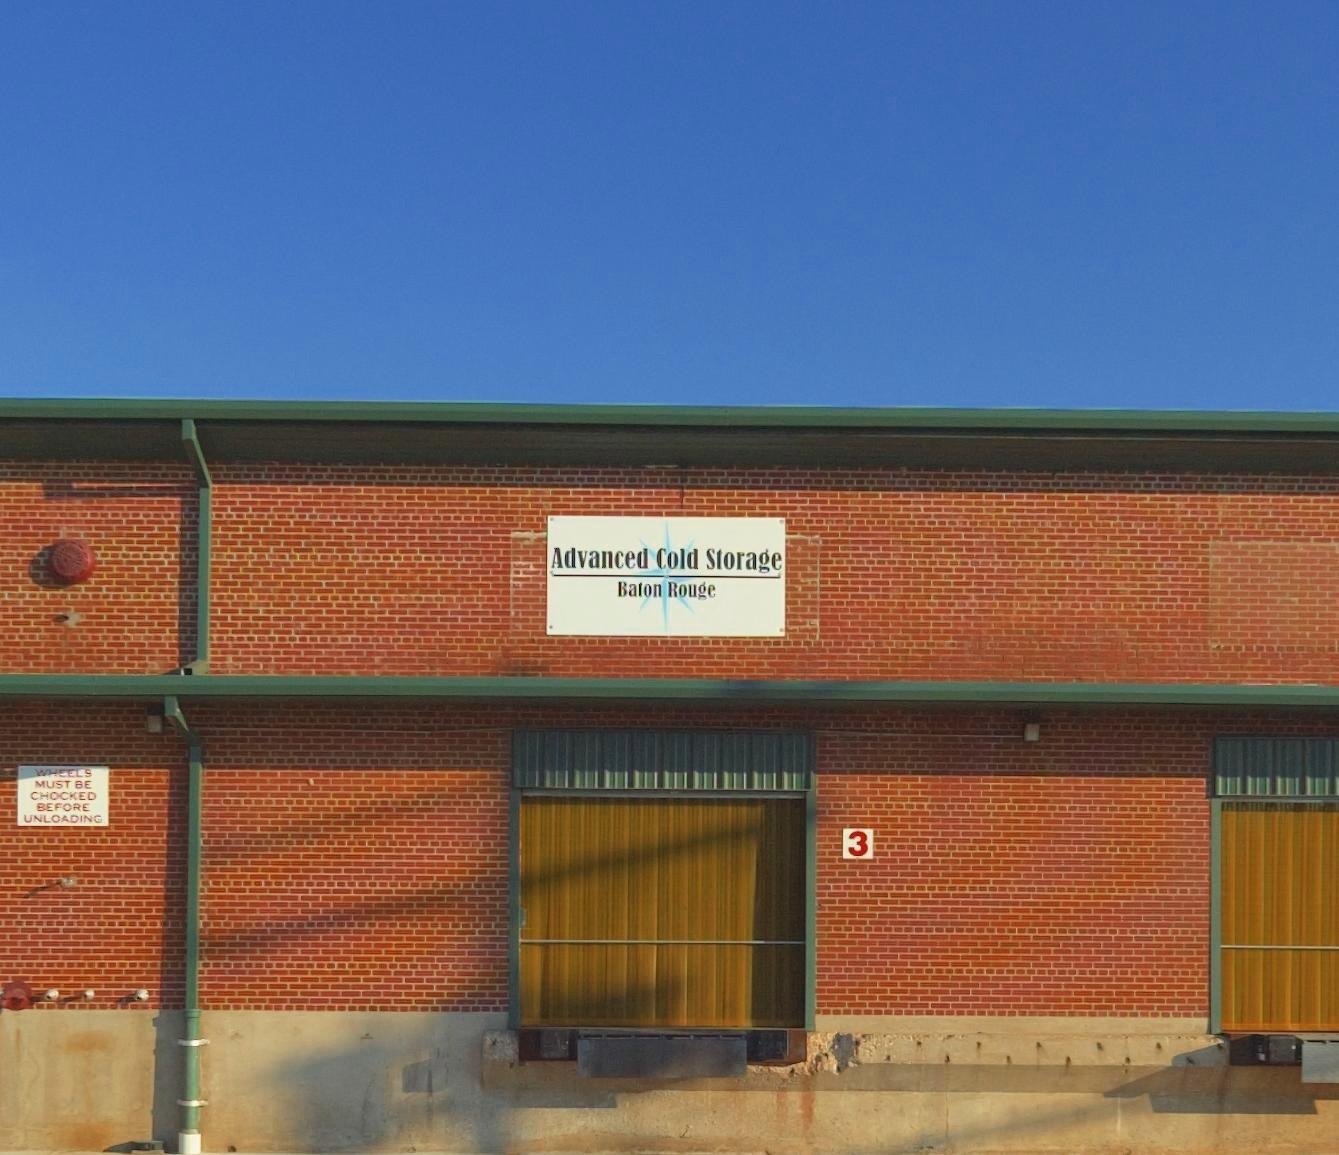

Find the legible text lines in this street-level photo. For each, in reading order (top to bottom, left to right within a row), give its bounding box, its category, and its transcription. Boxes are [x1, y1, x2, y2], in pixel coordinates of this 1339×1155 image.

[548, 545, 784, 575] BusinessName: Advanced Cold Storage
[615, 579, 719, 603] None: Baton Rouge
[30, 766, 95, 780] None: WHEELS
[32, 778, 94, 791] None: MUST BE
[27, 789, 100, 803] None: CHOCKED
[33, 800, 94, 814] None: BEFORE
[21, 811, 106, 826] None: UNLOADING
[845, 827, 871, 859] None: 3